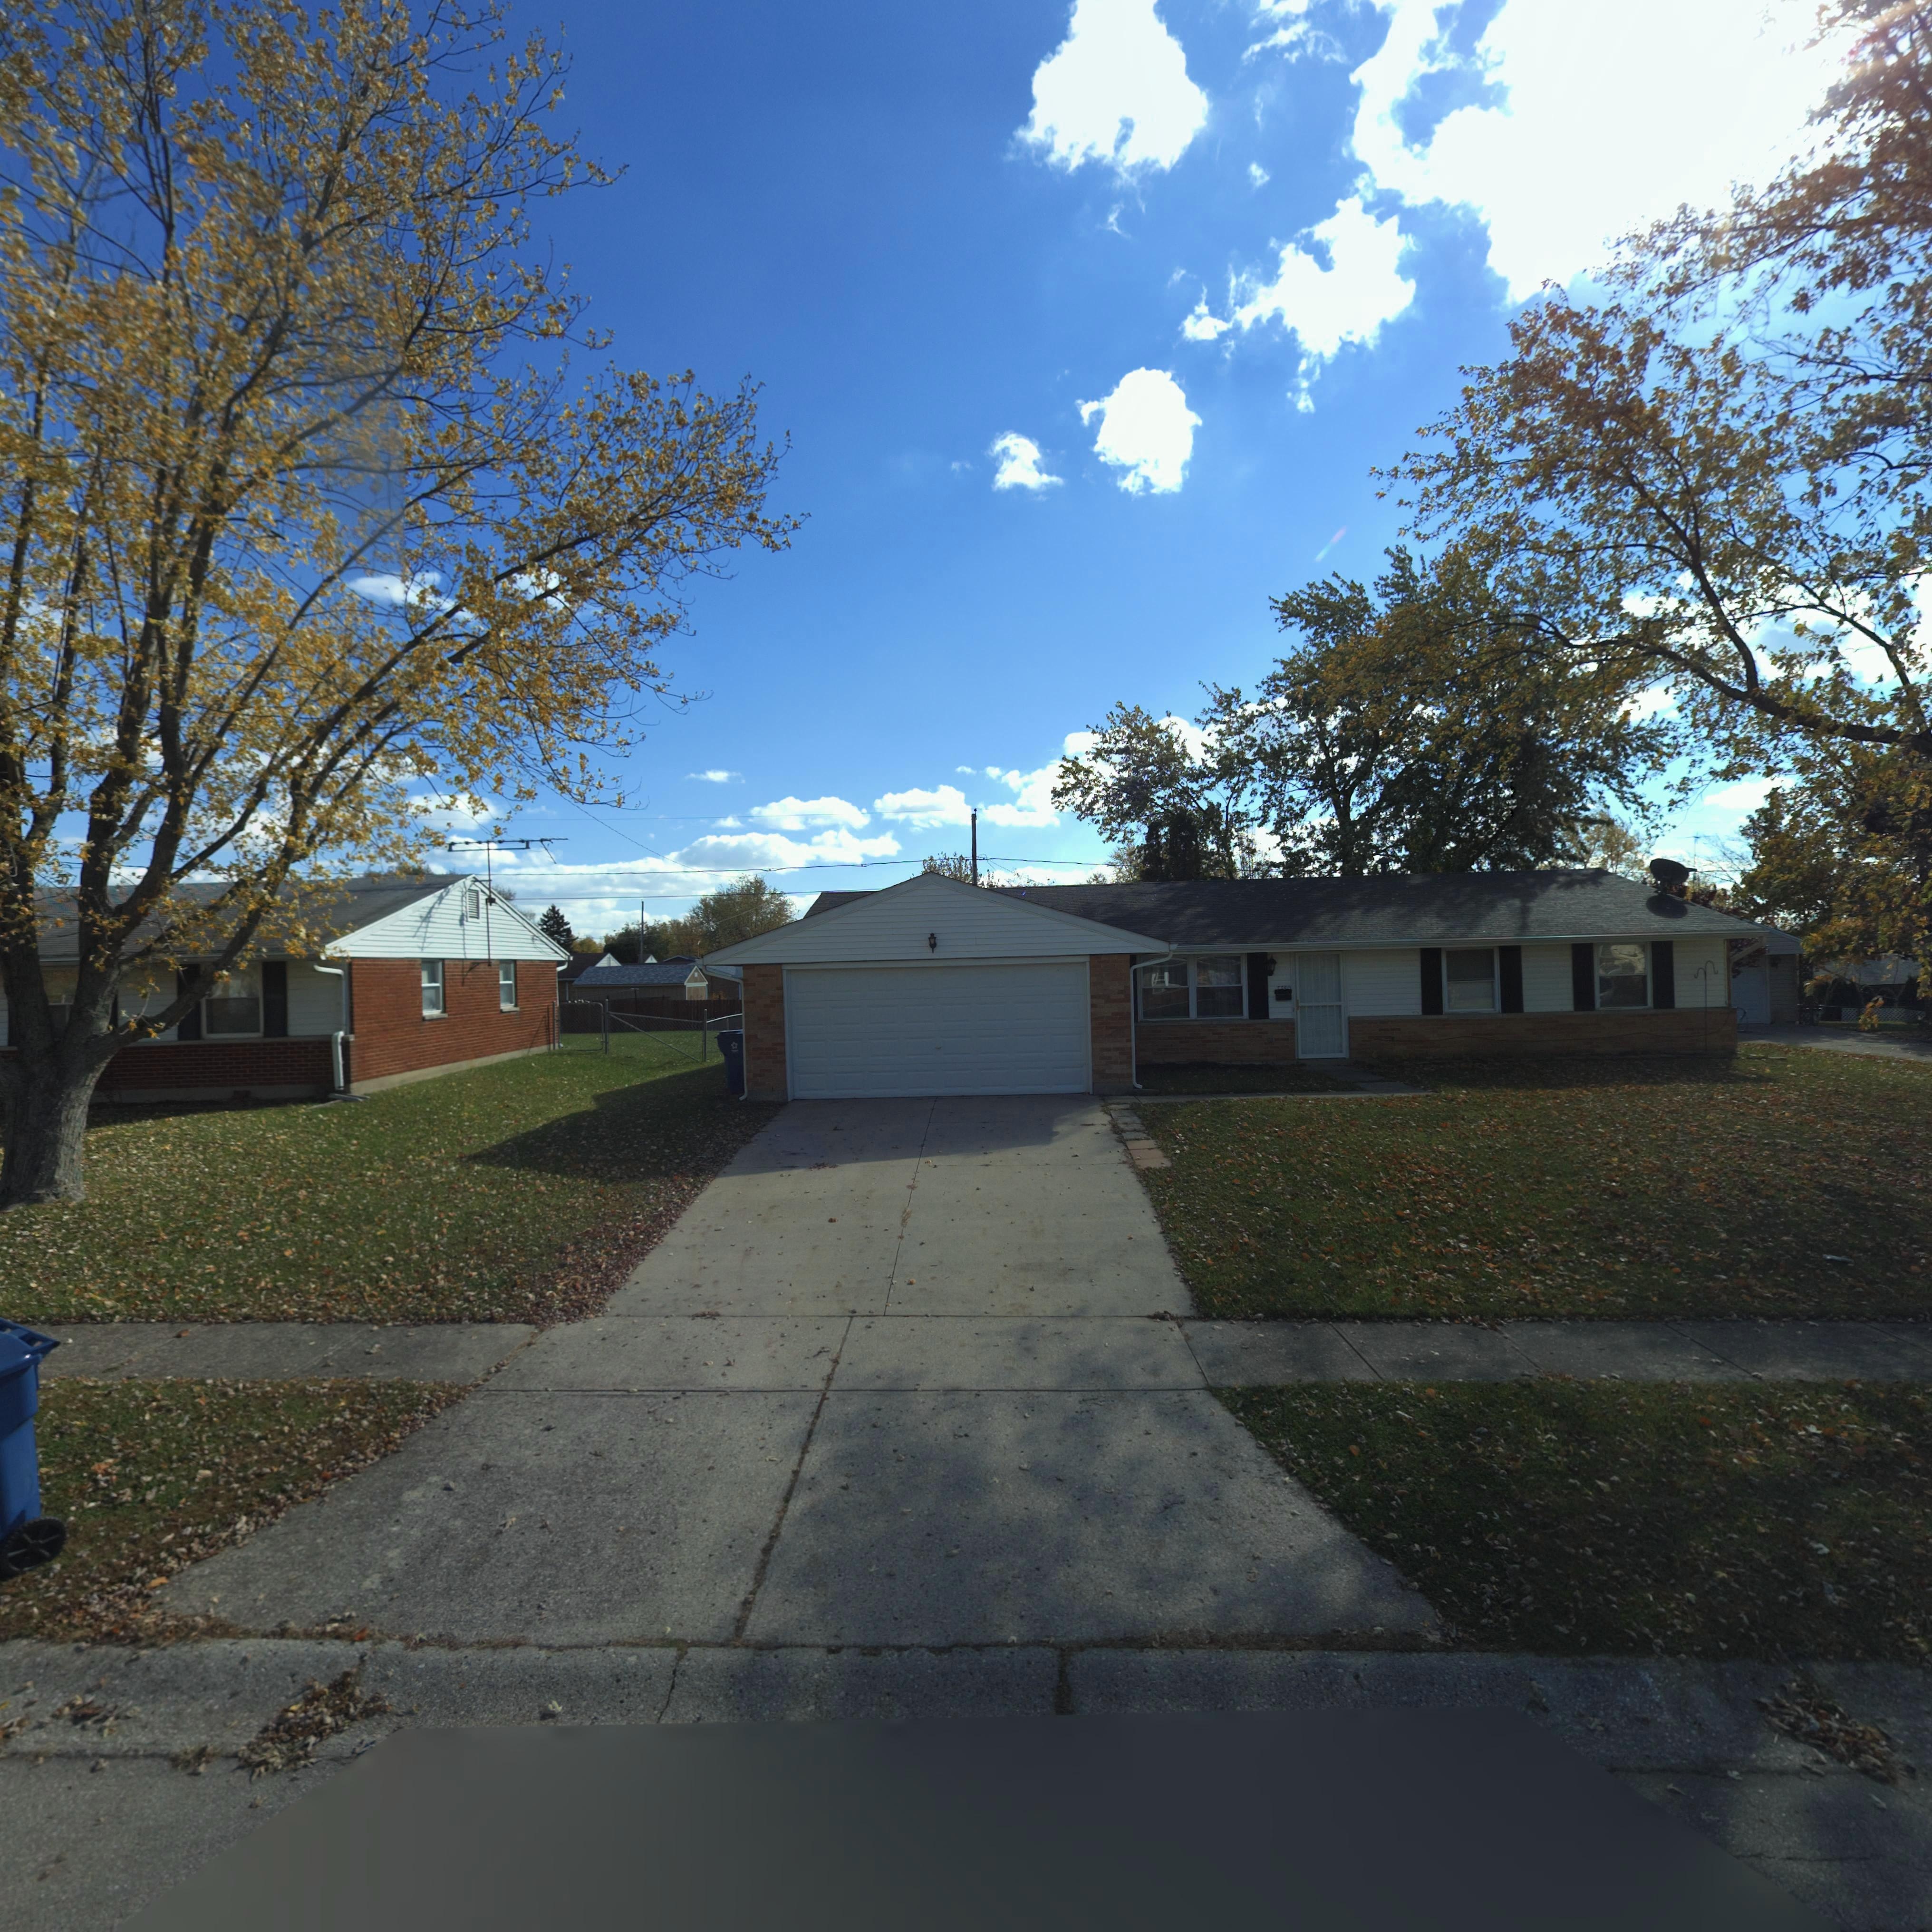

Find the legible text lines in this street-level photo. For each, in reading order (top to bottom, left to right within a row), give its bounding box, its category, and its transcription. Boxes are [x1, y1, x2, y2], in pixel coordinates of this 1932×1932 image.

[1276, 985, 1292, 990] StreetNumber: 7780